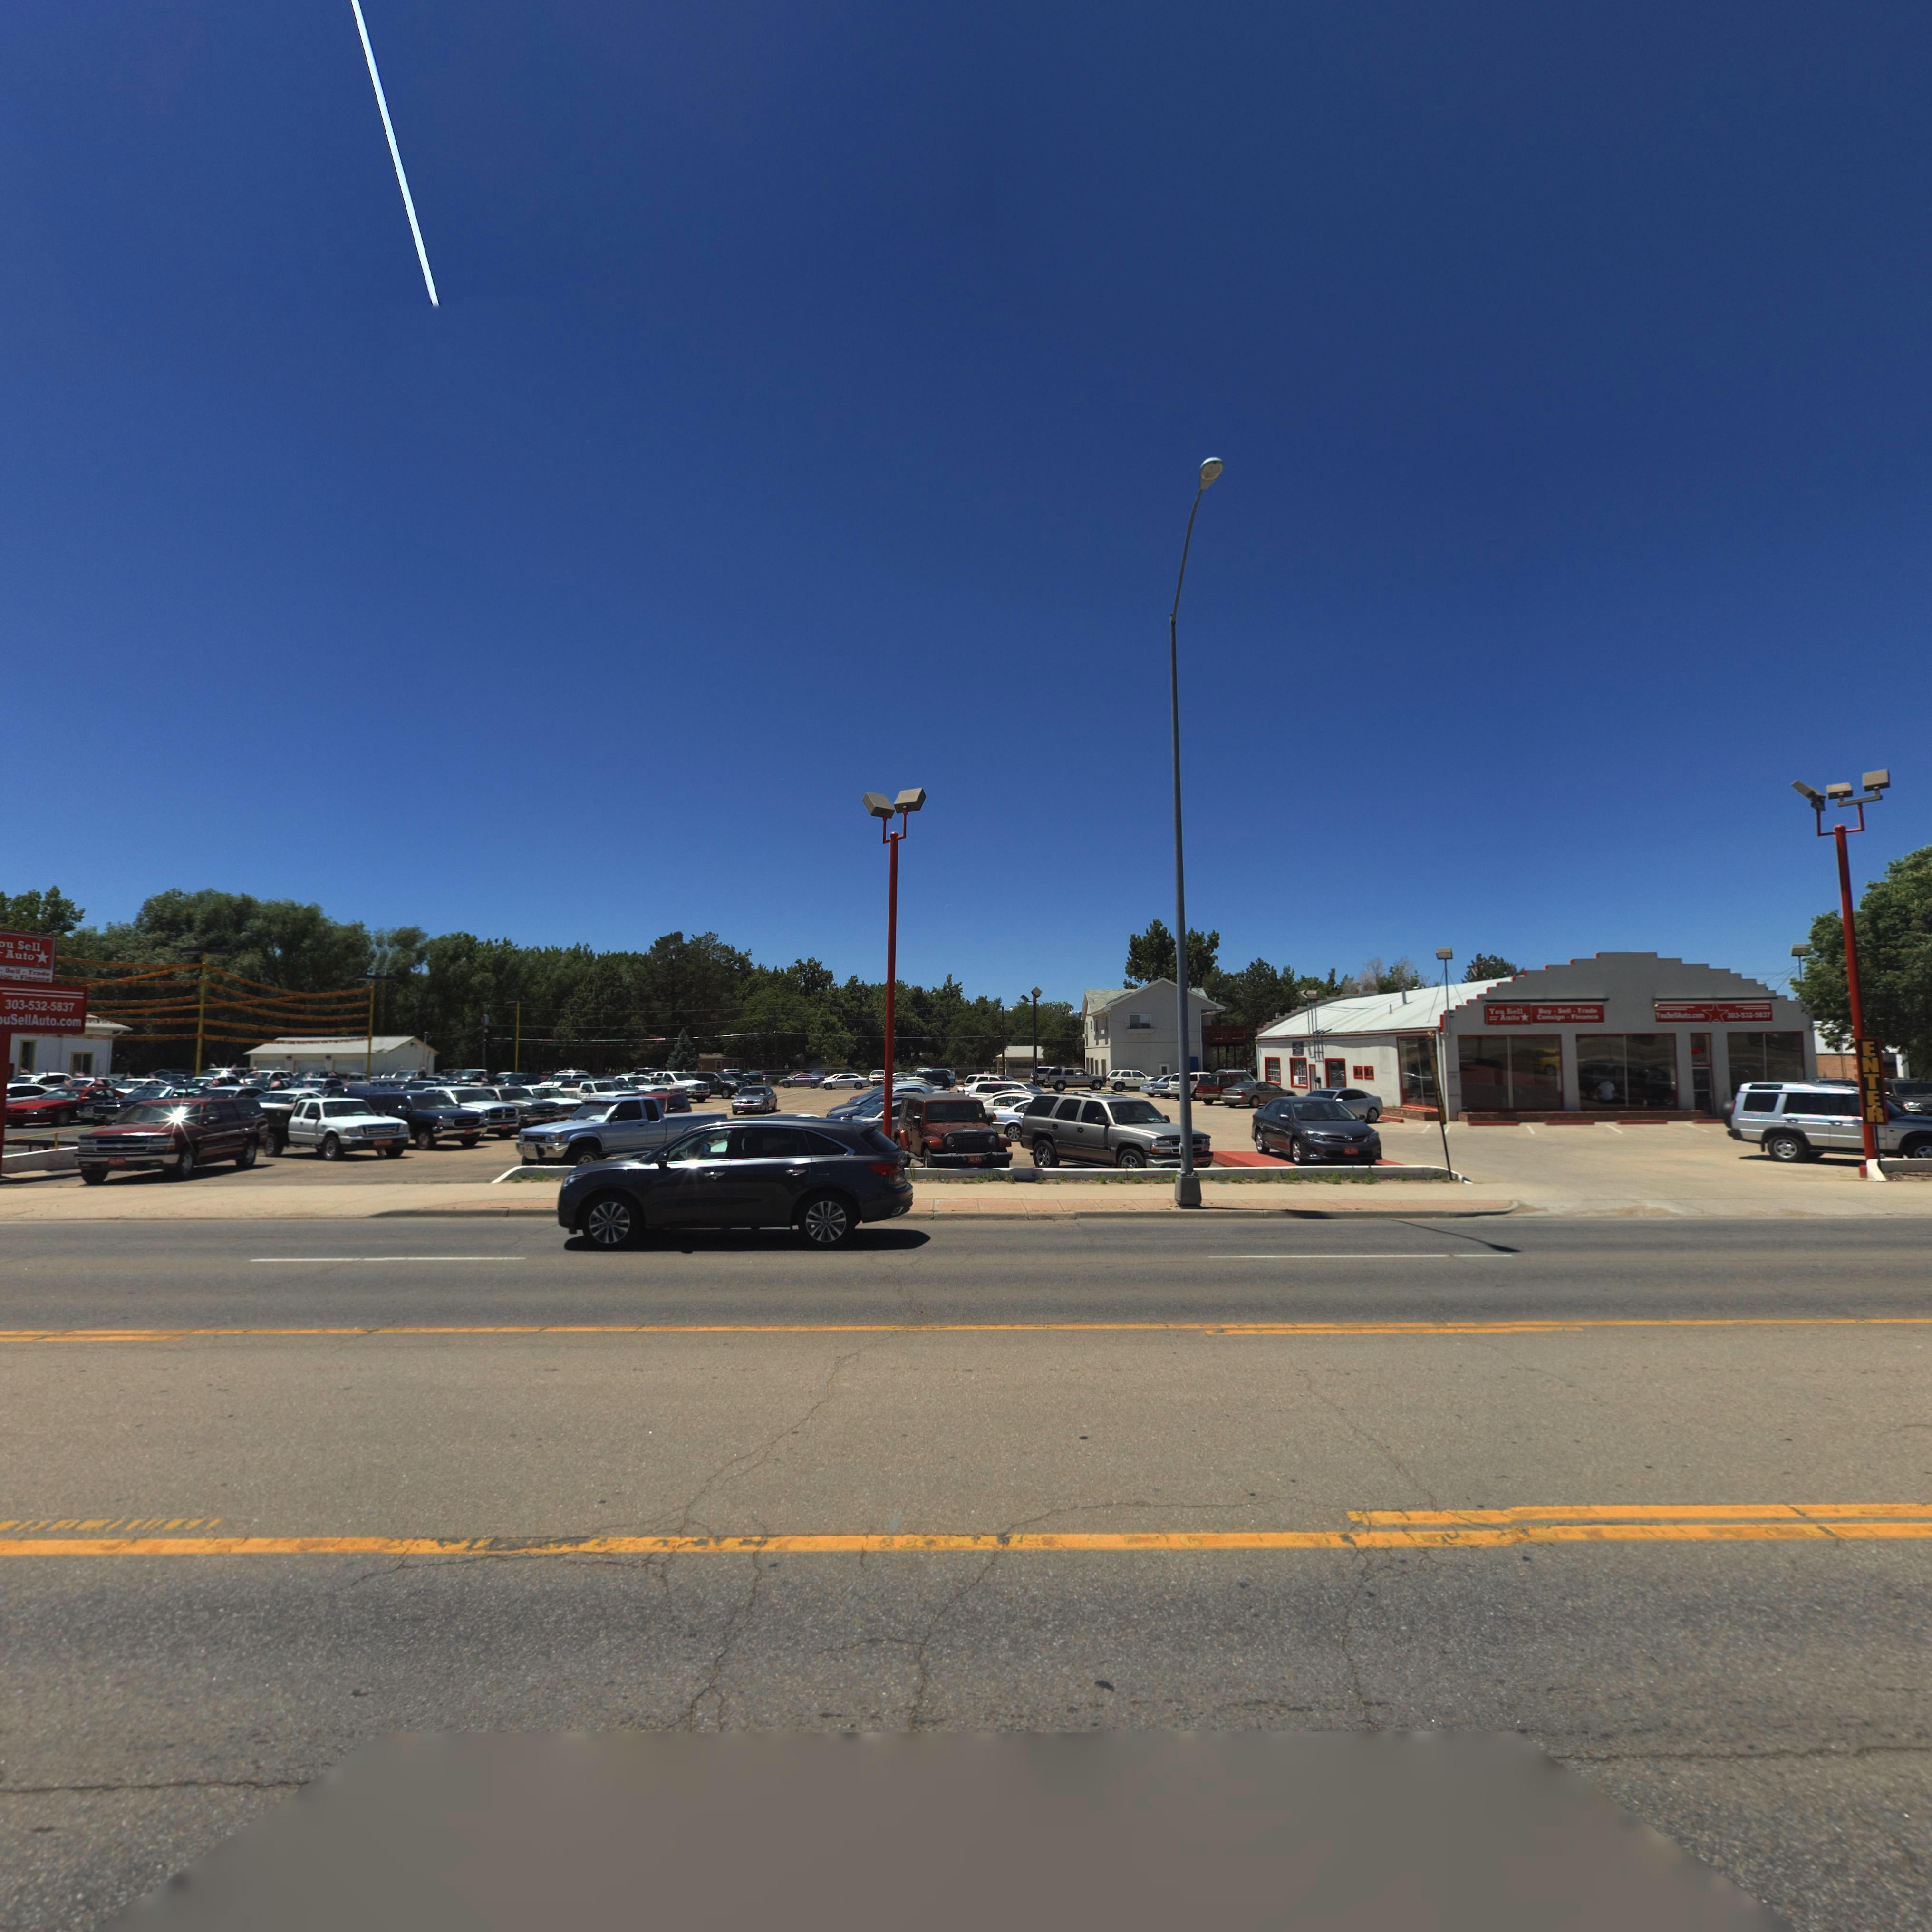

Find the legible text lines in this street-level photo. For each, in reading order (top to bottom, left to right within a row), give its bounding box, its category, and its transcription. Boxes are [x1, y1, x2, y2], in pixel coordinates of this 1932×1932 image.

[6, 940, 40, 952] BusinessName: u Sell
[5, 949, 35, 961] BusinessName: Auto
[1488, 1007, 1523, 1014] BusinessName: You S*ell
[1499, 1014, 1521, 1020] BusinessName: Au*to